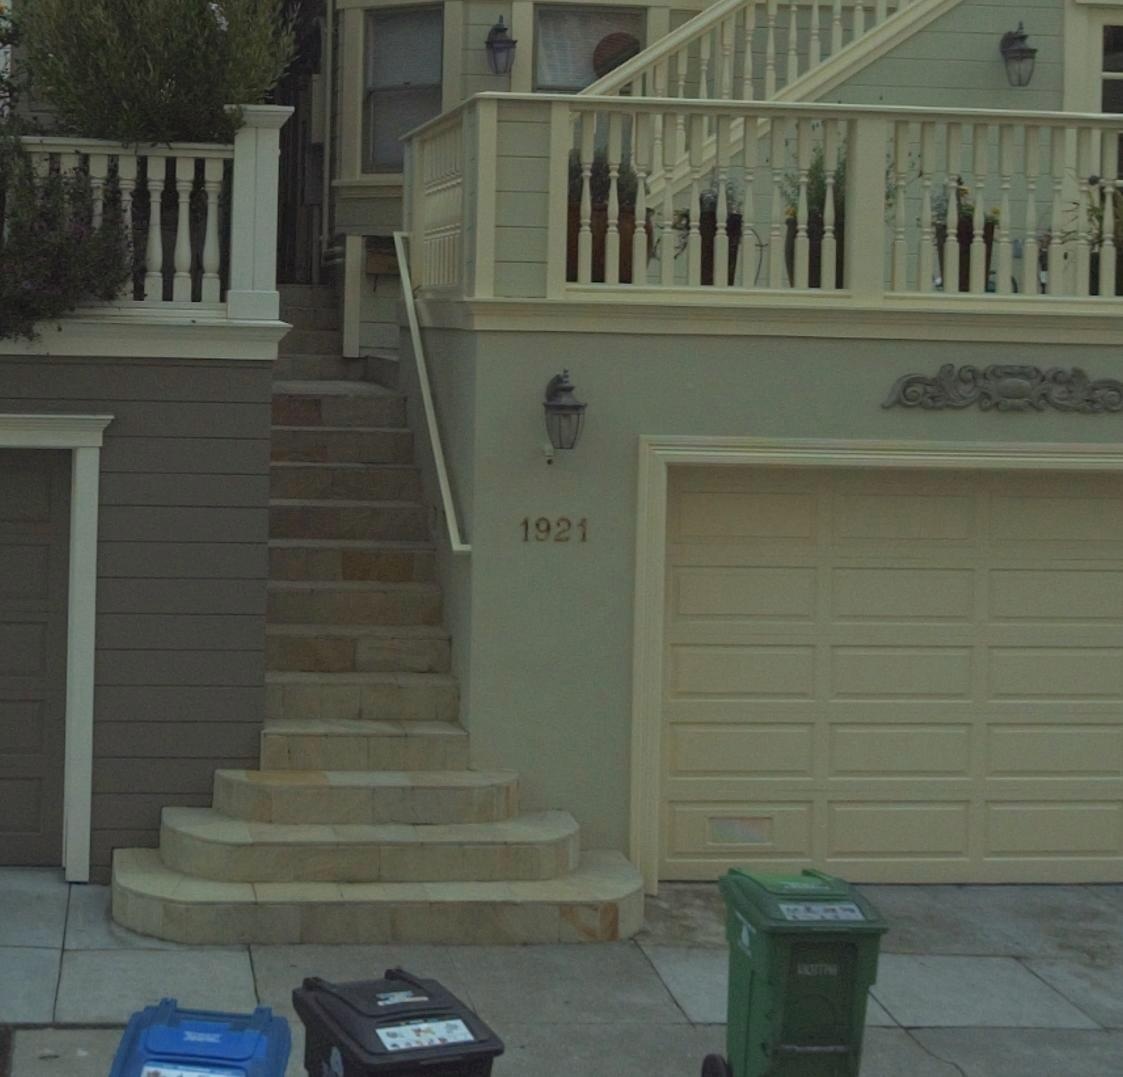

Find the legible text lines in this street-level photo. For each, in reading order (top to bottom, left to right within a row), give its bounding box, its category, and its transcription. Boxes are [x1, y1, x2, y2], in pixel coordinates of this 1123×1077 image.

[518, 513, 591, 546] StreetNumber: 1921